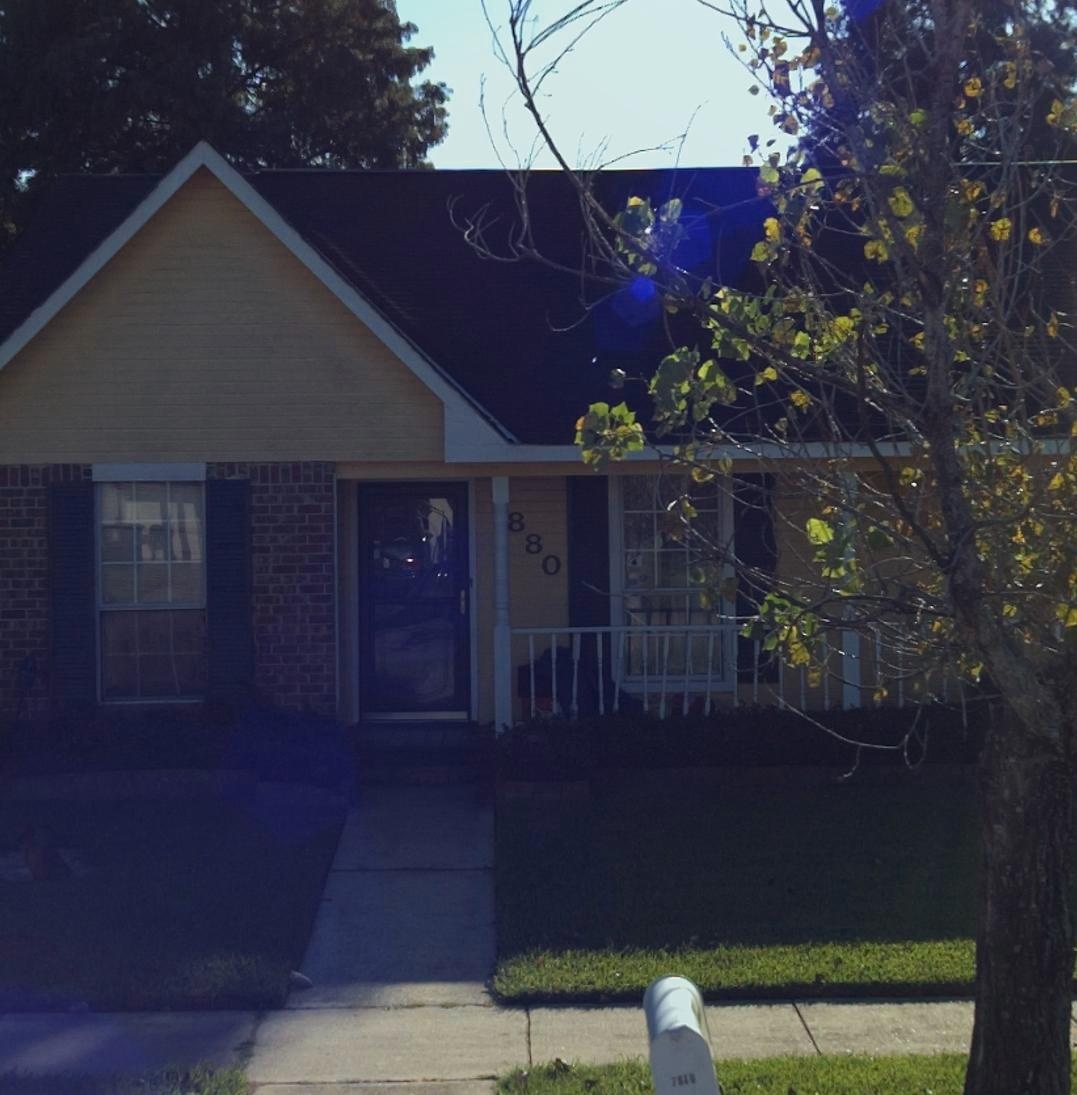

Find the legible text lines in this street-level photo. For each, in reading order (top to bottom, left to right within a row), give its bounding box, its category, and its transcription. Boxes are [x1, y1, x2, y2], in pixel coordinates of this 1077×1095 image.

[508, 510, 564, 584] StreetNumber: 880